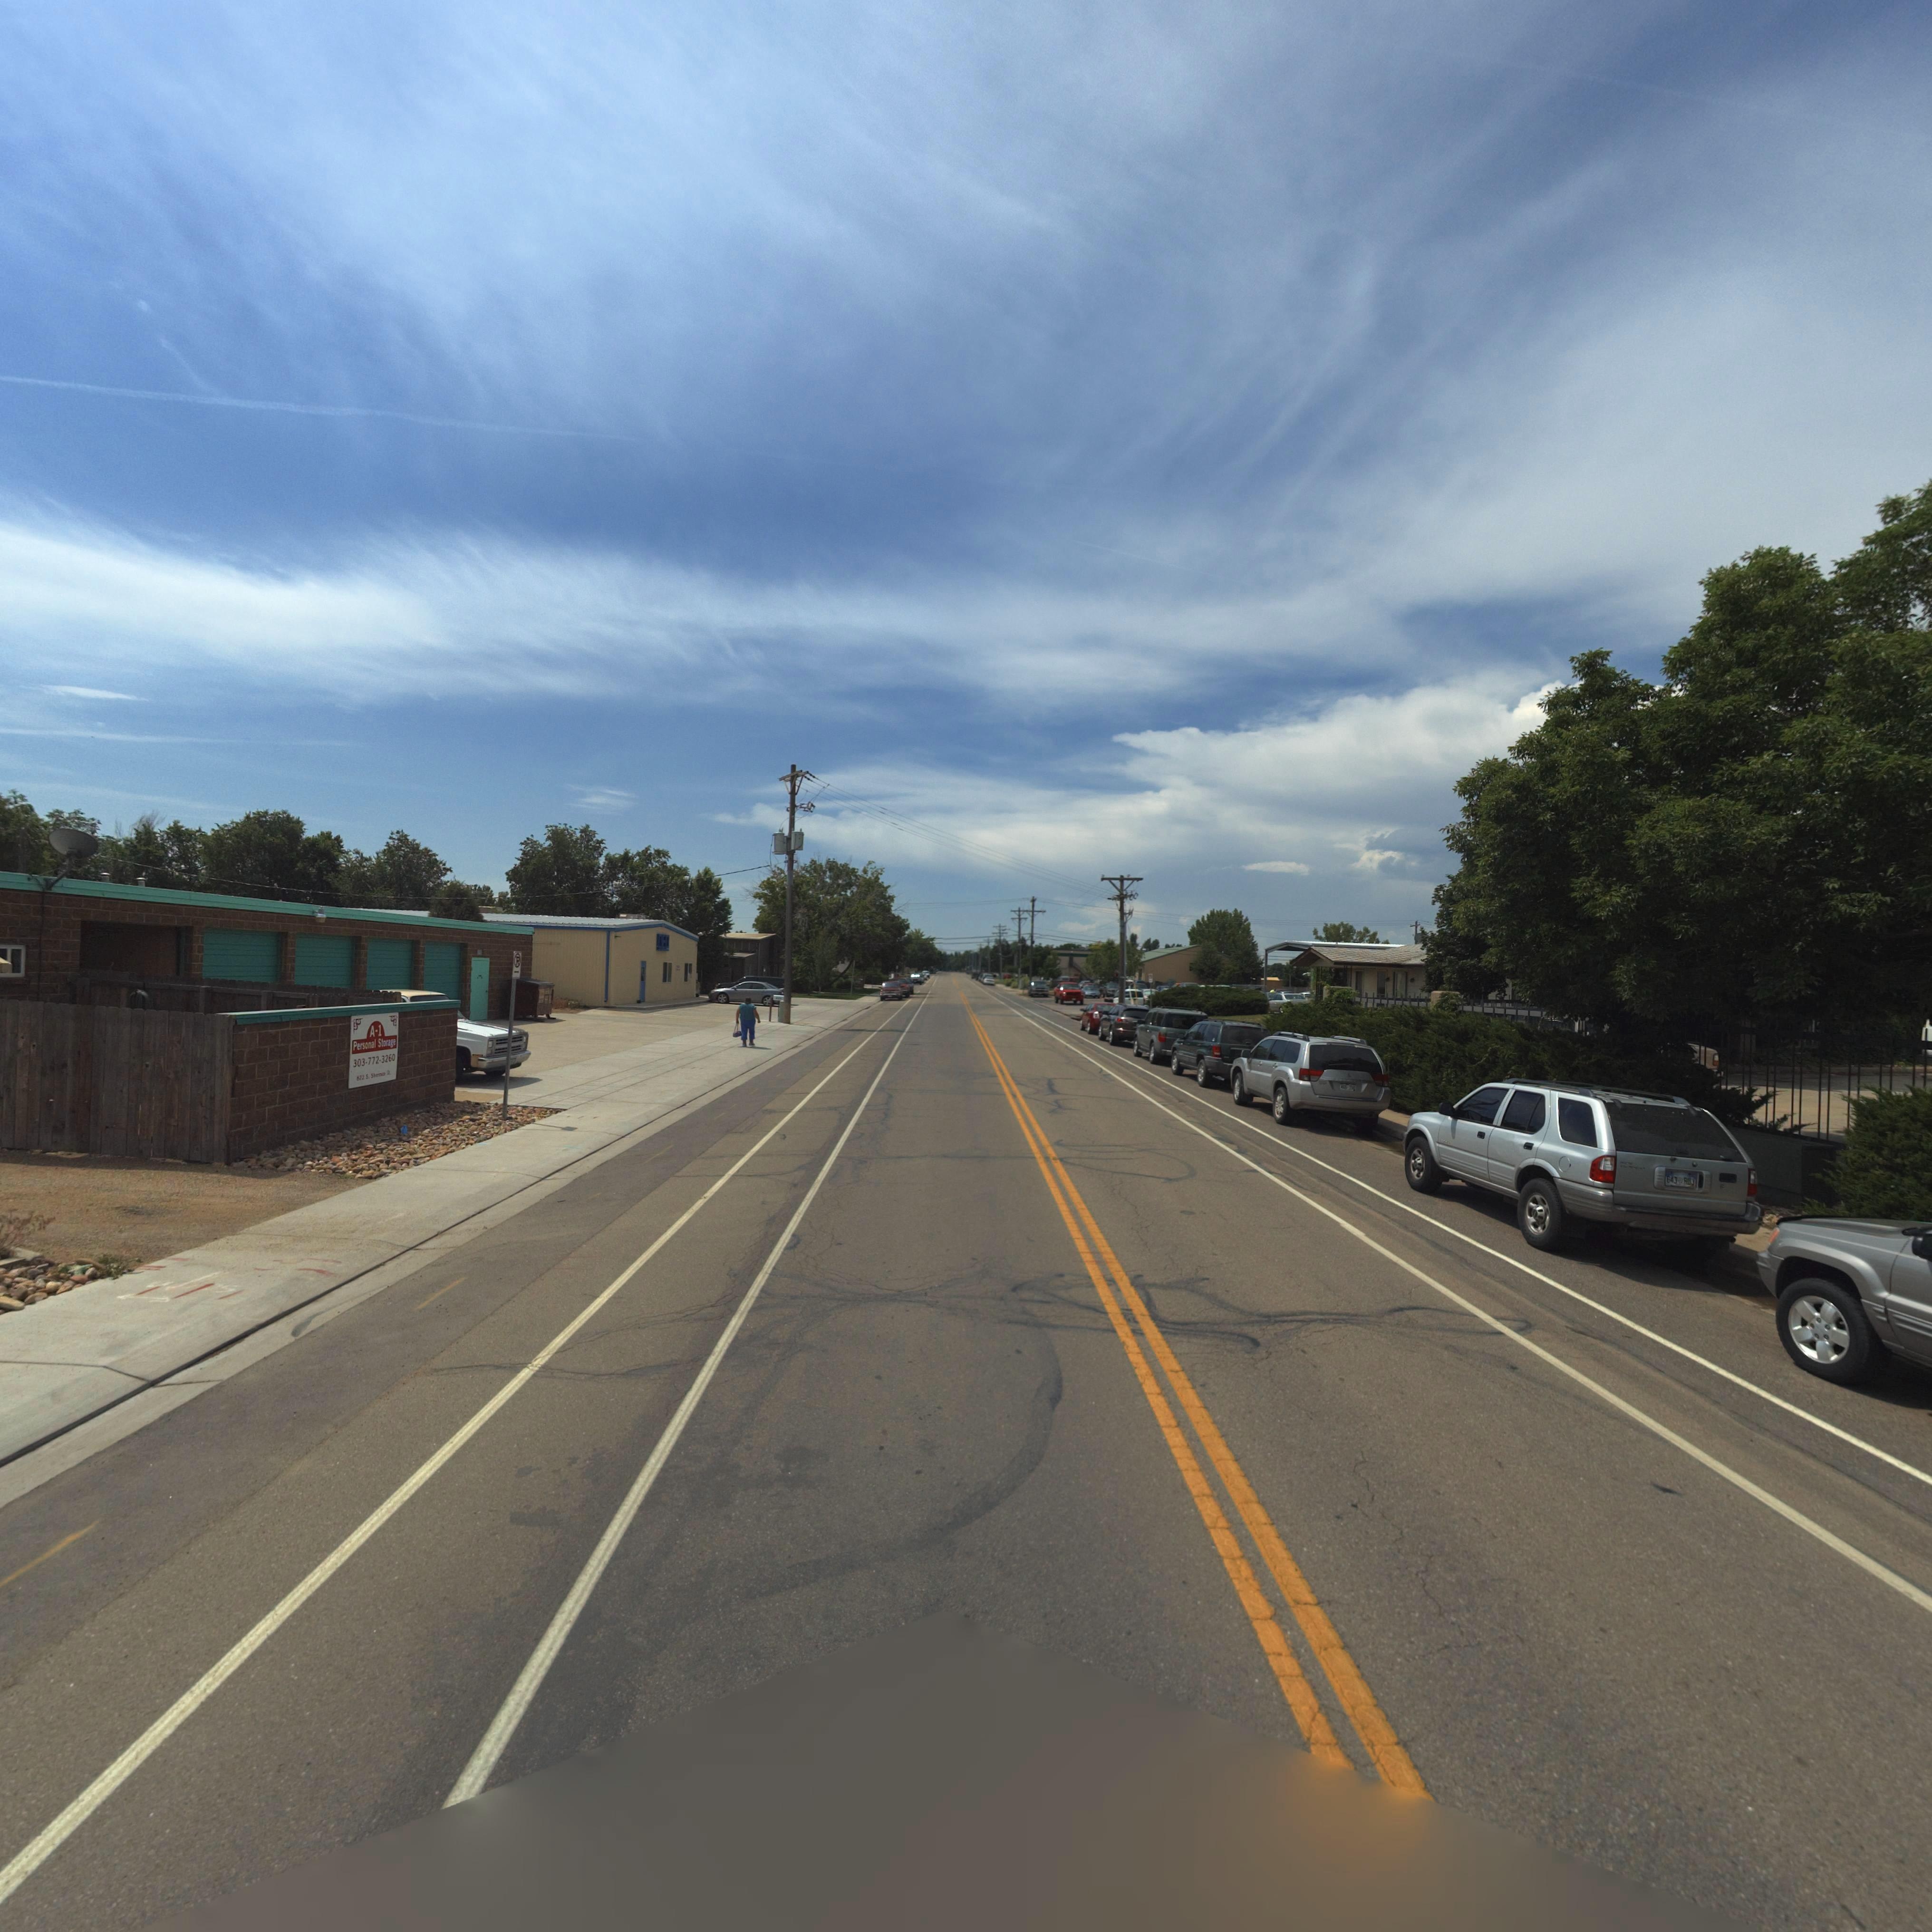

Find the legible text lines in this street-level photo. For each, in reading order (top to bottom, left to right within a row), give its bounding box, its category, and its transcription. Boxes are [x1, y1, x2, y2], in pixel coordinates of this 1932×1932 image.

[369, 1024, 382, 1037] BusinessName: A-1
[353, 1037, 396, 1051] BusinessName: Personal Storage
[356, 1074, 364, 1081] StreetNumber: 82*
[366, 1070, 391, 1079] StreetName: S. Sherman St.